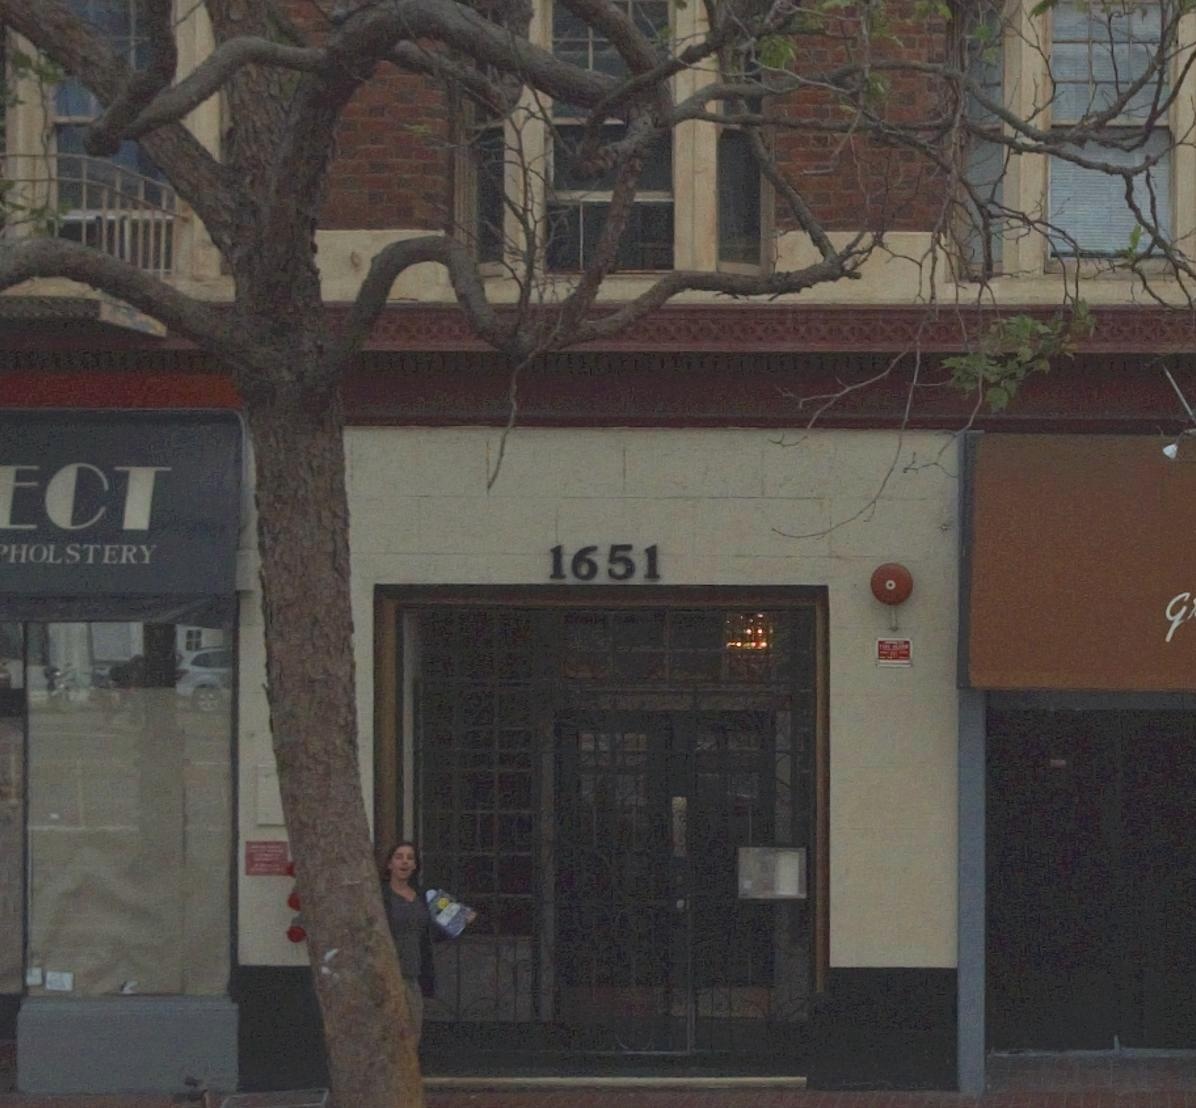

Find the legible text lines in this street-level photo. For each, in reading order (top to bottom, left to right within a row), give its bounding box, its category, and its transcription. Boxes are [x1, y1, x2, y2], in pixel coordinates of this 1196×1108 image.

[0, 462, 175, 533] BusinessName: ECT
[9, 541, 157, 566] BusinessName: HOLSTERY
[549, 542, 663, 581] StreetNumber: 1651
[1161, 590, 1193, 646] BusinessName: G